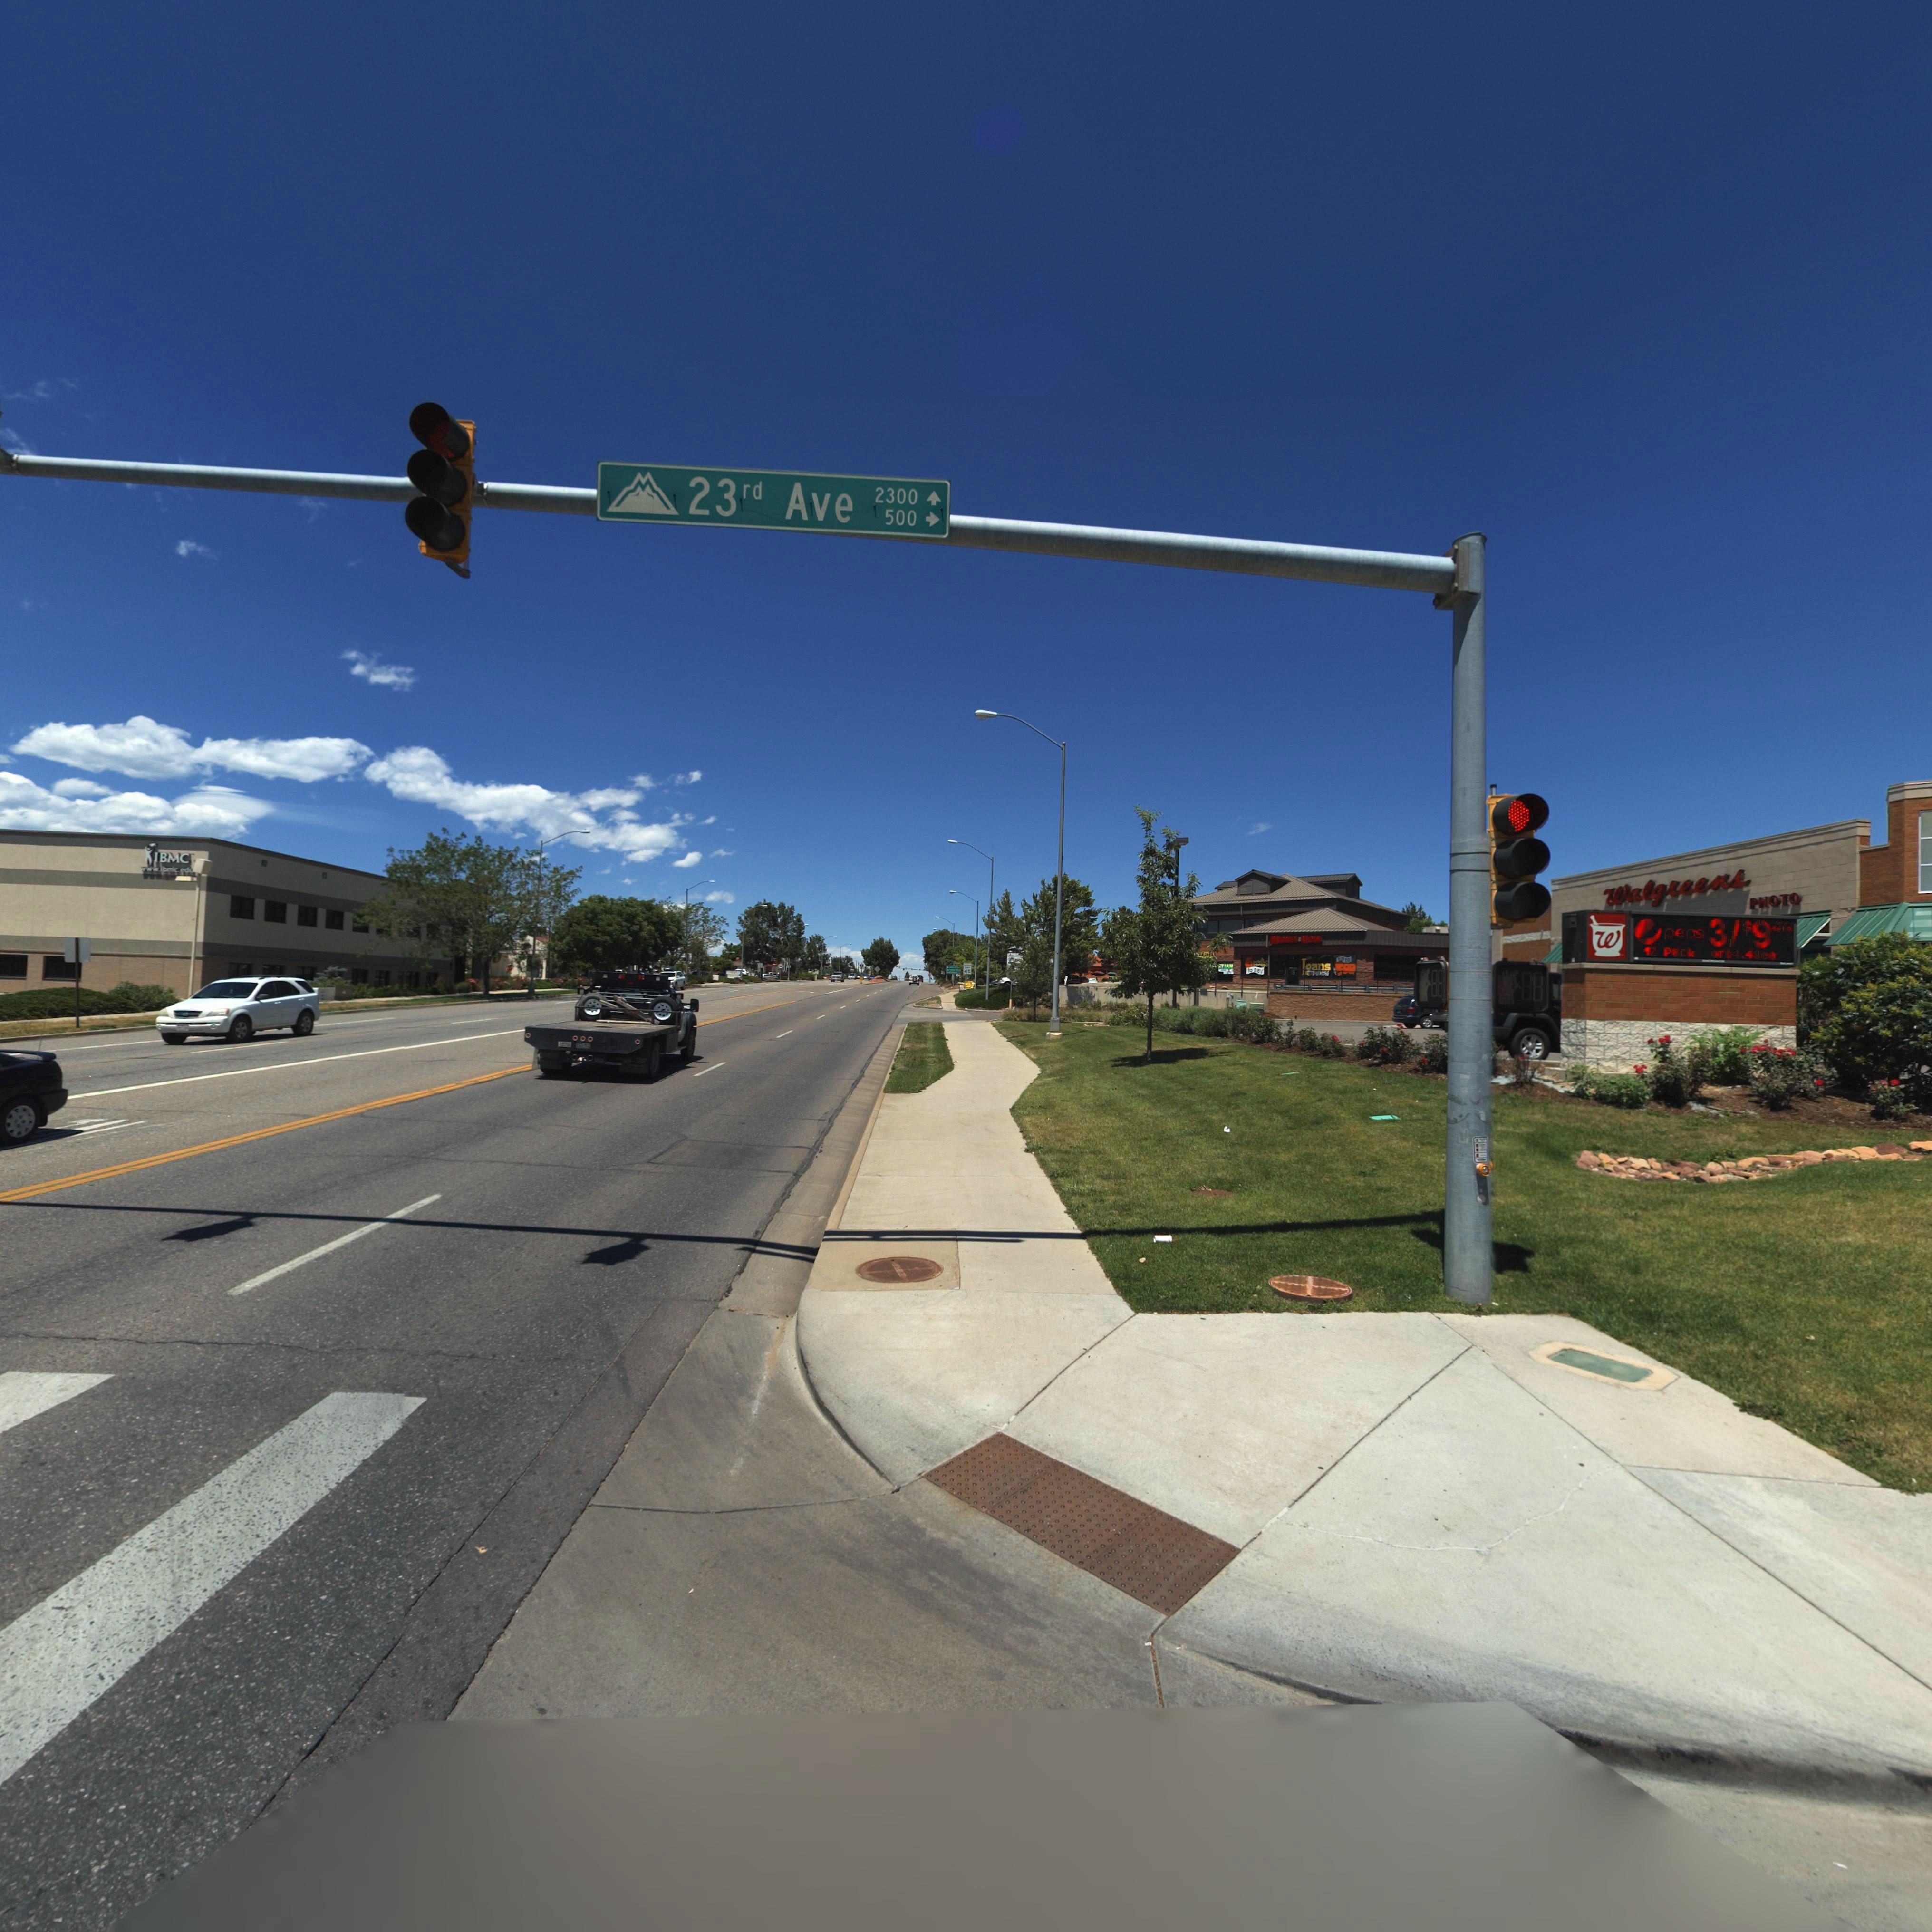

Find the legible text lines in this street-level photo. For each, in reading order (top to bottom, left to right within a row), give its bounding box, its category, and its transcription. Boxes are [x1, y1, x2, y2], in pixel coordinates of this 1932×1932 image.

[687, 475, 854, 524] StreetName: 23rd Ave
[874, 485, 918, 506] StreetNumberRange: 2300
[884, 508, 942, 528] StreetNumberRange: 500->
[153, 851, 190, 864] BusinessName: IBMC
[1602, 868, 1751, 908] BusinessName: Walgreens
[1594, 930, 1621, 949] StreetName: W